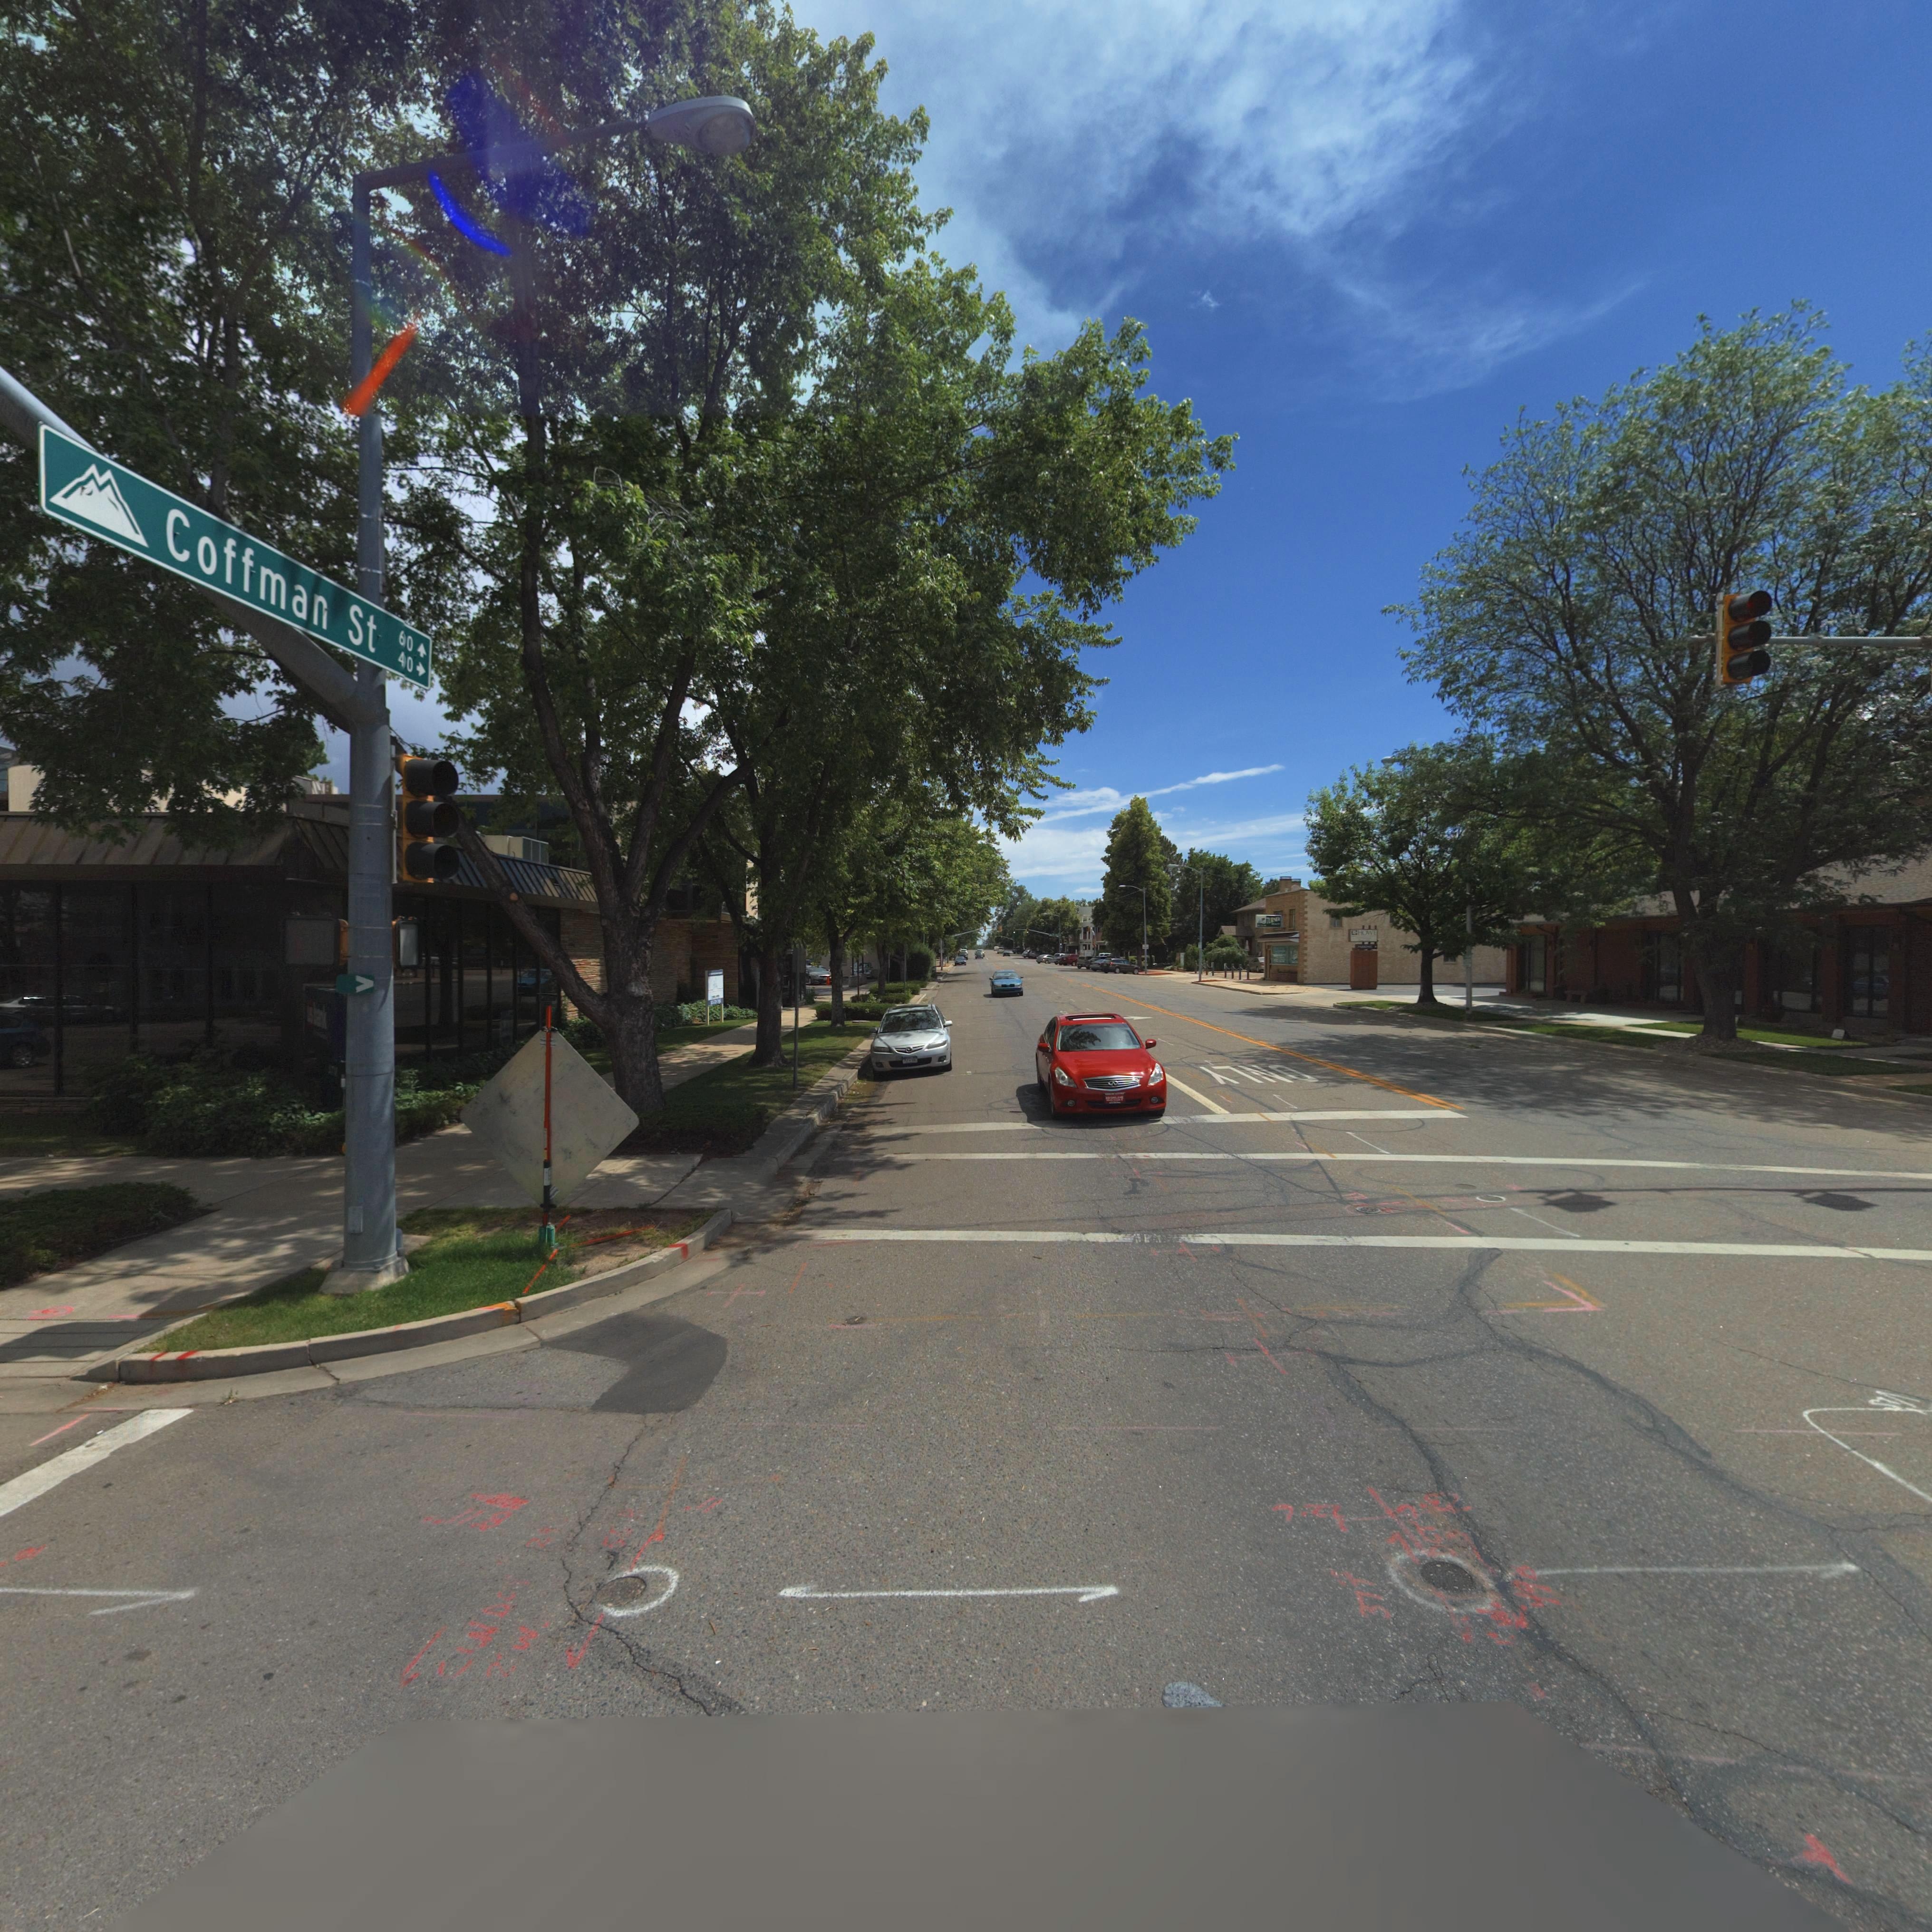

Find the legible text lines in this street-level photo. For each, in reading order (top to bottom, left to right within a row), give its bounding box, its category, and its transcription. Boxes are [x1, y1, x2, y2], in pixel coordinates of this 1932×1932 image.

[165, 507, 377, 655] StreetName: Coffman St
[398, 629, 414, 652] StreetNumberRange: *0
[396, 650, 427, 677] StreetNumberRange: 40->
[1265, 917, 1280, 924] BusinessName: TL****
[306, 1001, 327, 1030] BusinessName: usbank